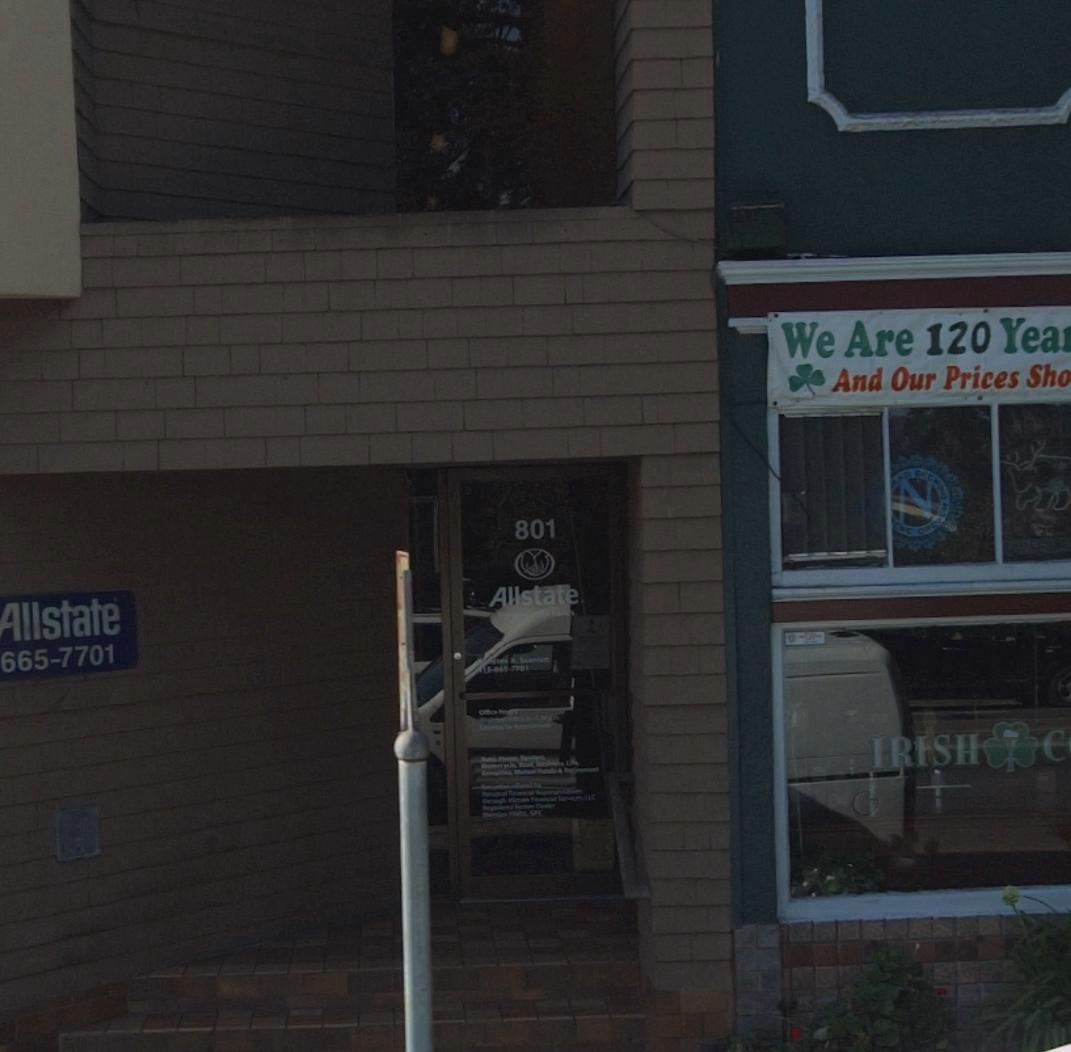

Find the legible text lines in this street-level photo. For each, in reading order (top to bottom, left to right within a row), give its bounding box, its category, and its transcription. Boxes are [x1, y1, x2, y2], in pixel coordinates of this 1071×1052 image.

[776, 315, 1061, 362] None: We Are 120 Yea
[827, 363, 1070, 395] None: And Our Prices Sho
[512, 517, 557, 541] StreetNumber: 801
[487, 583, 579, 608] BusinessName: Allstate
[0, 596, 122, 642] BusinessName: Allstate
[1, 640, 115, 675] None: 665-7701
[869, 731, 980, 770] None: IRISH
[1042, 726, 1068, 765] None: C